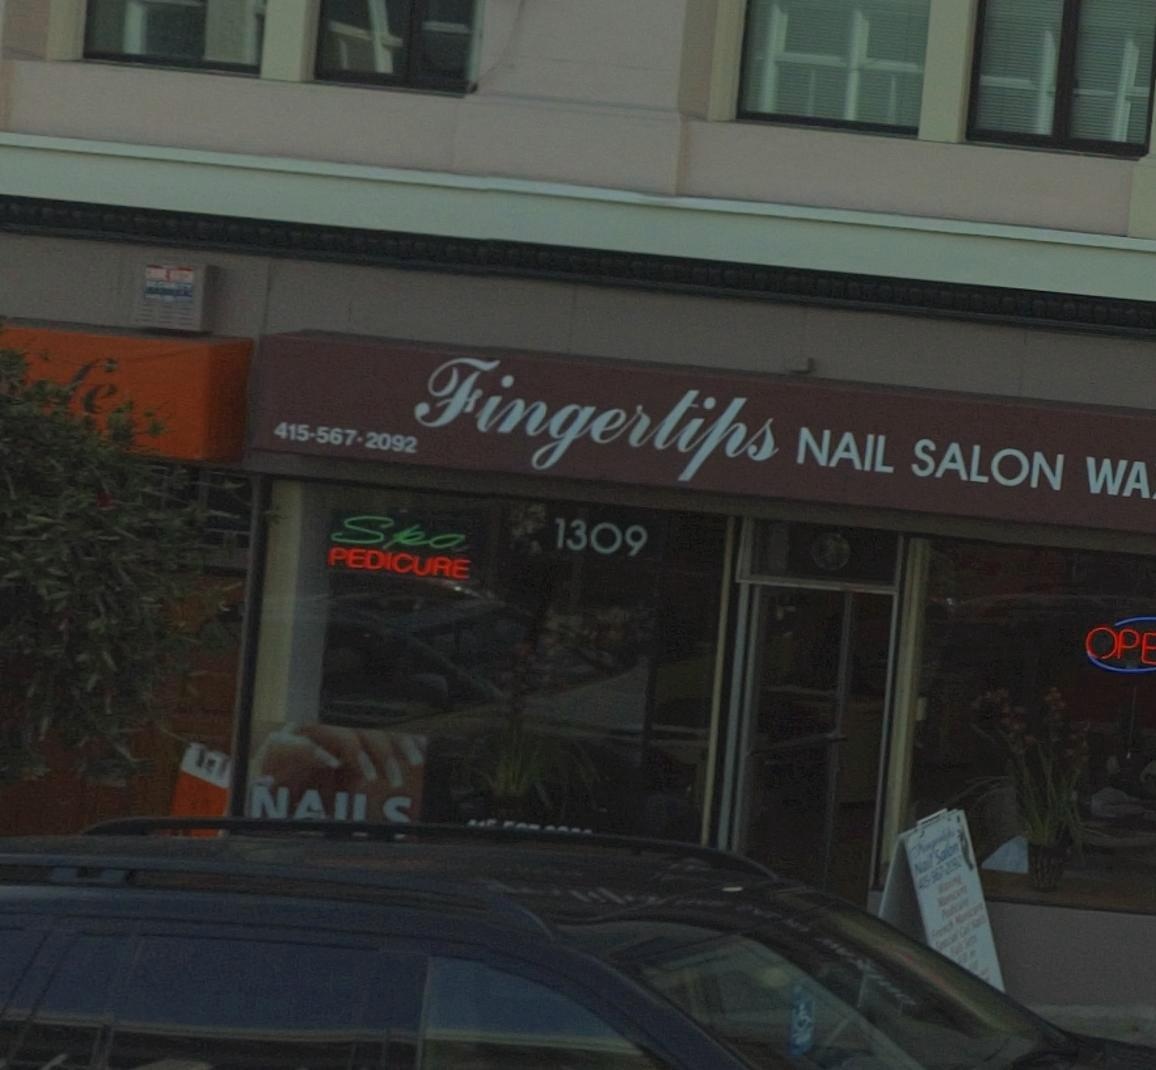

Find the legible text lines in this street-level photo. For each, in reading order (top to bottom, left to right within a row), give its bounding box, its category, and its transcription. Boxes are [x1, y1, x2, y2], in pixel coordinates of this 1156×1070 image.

[269, 417, 422, 458] None: 415-567-2092
[407, 350, 1154, 502] BusinessName: Fingertips NAIL SALON WA
[325, 509, 472, 554] None: Spa
[549, 511, 662, 563] StreetNumber: 1309
[321, 541, 476, 584] None: PEDICURE
[1080, 622, 1145, 664] None: OP